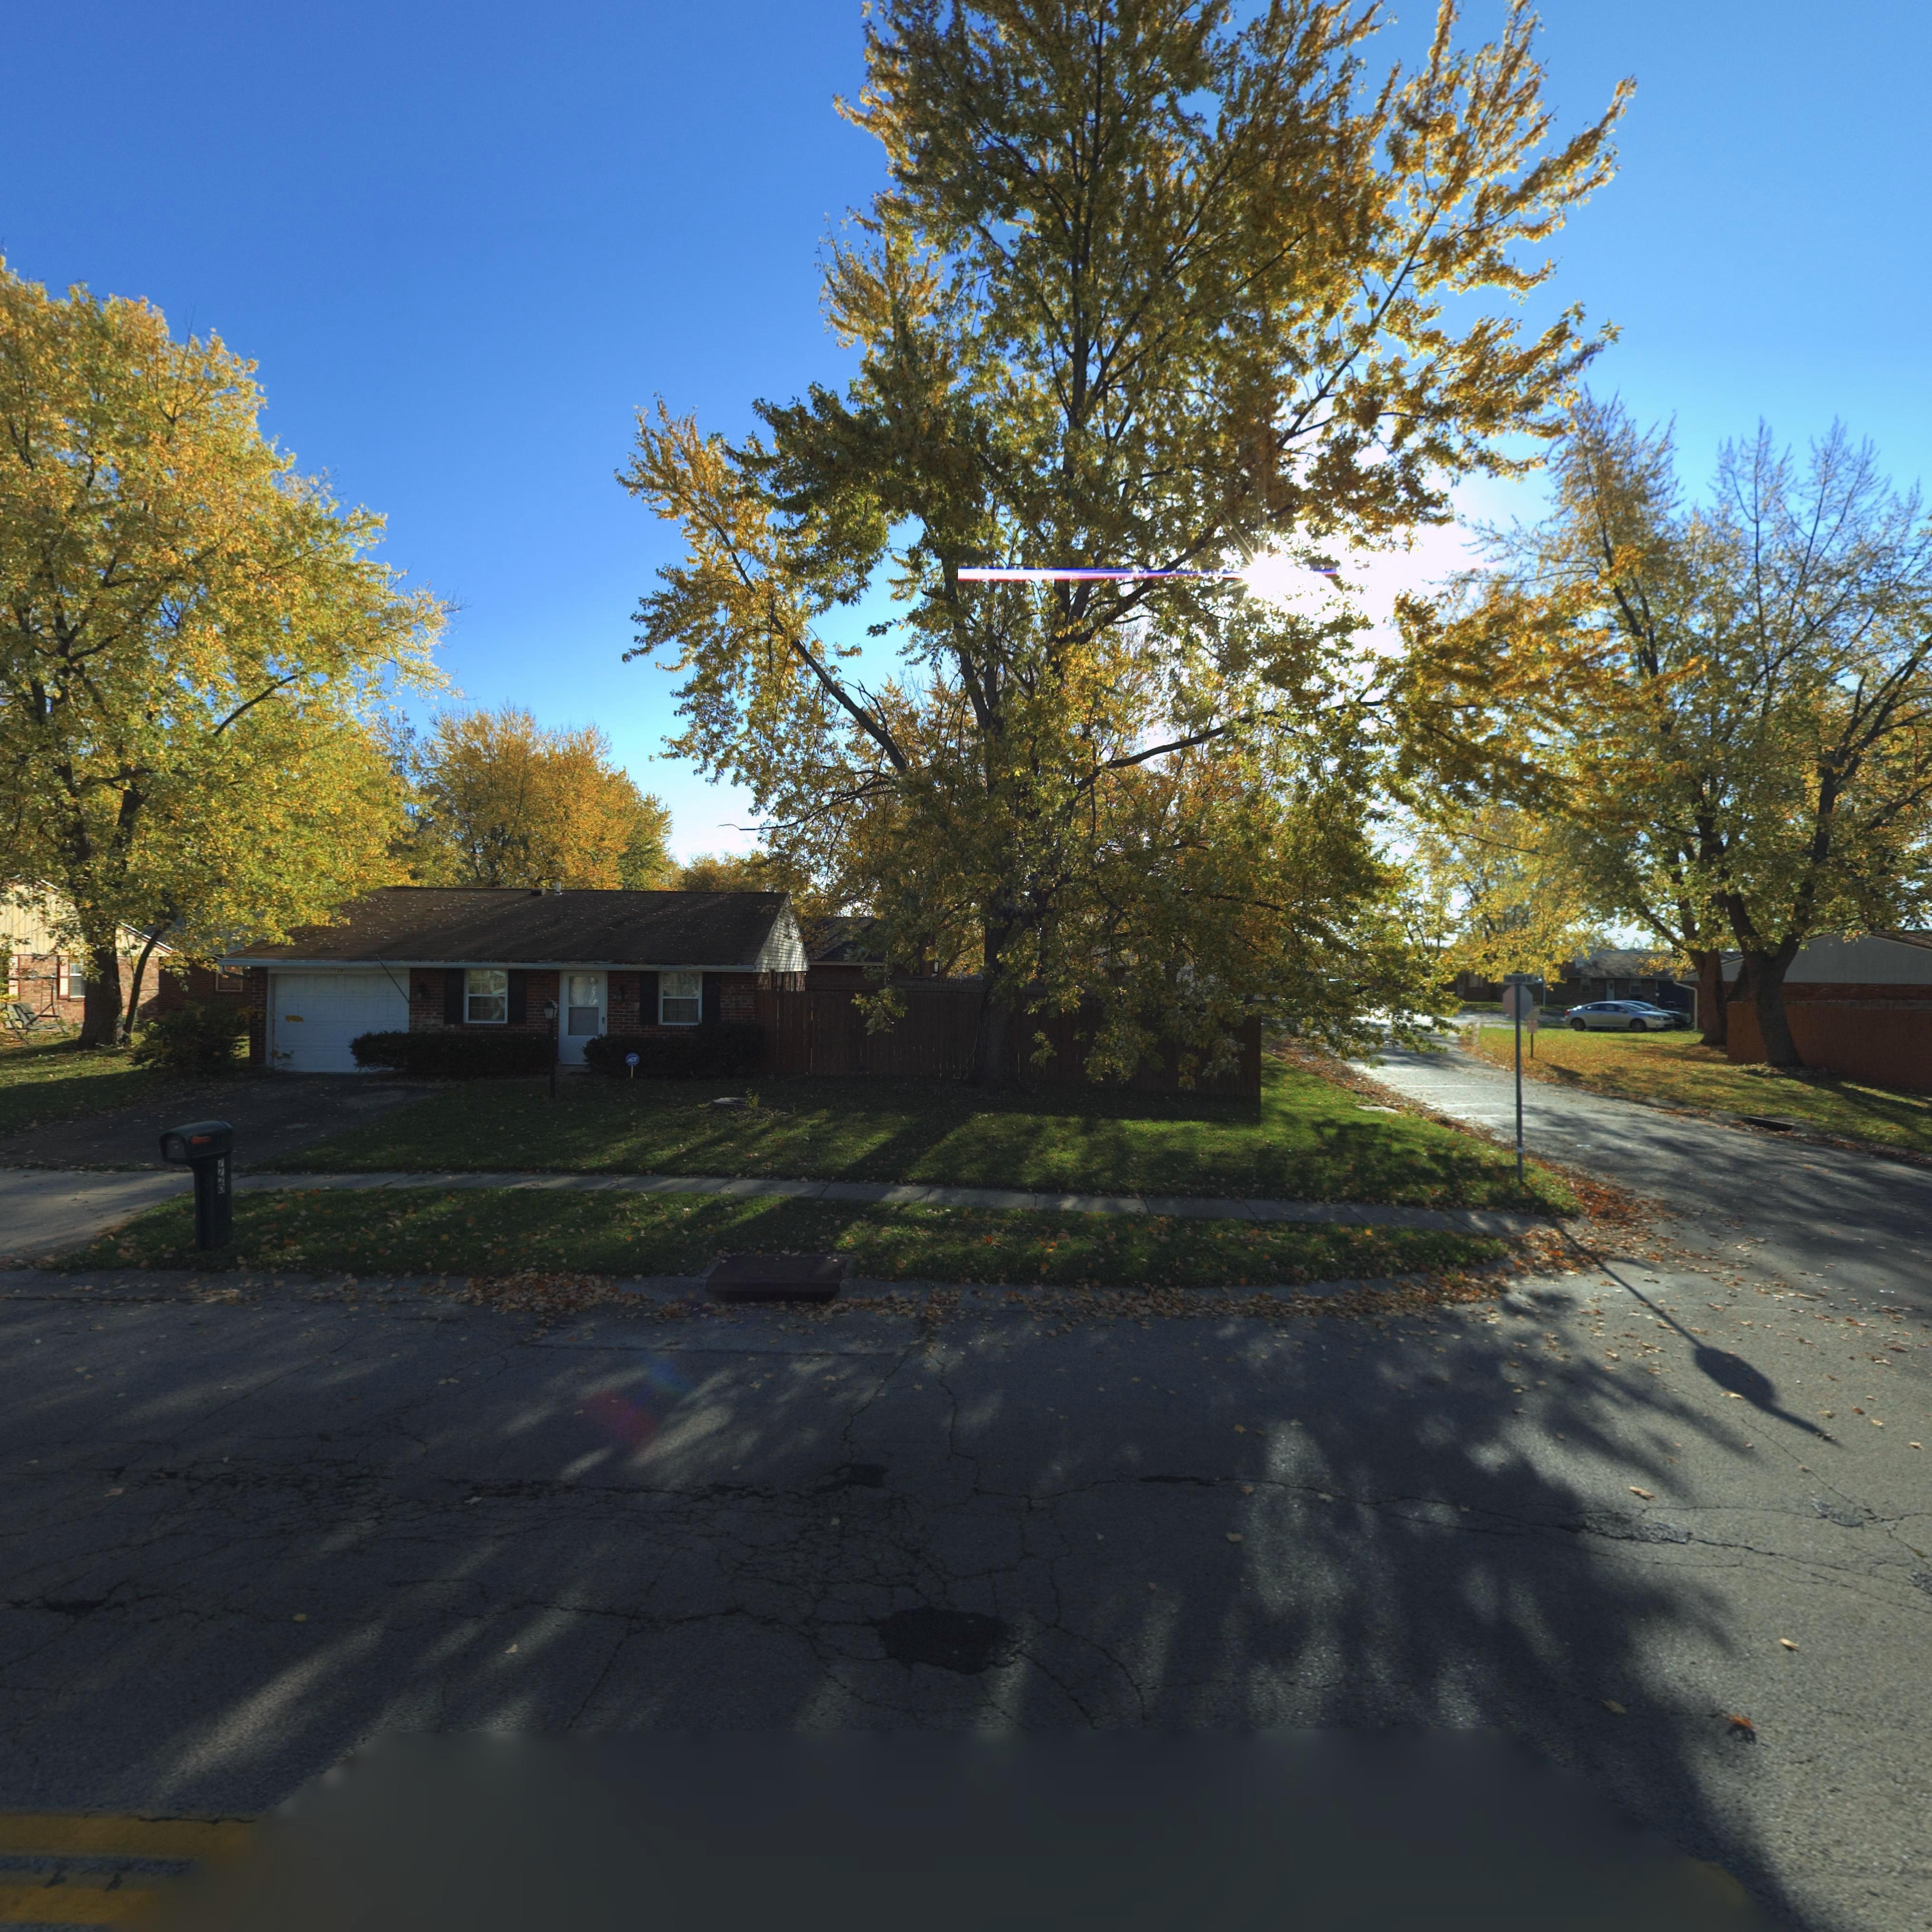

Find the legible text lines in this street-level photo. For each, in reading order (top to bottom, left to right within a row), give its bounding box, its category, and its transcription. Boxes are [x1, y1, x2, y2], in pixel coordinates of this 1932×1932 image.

[329, 967, 345, 974] StreetNumber: 7**0
[215, 1157, 227, 1195] StreetNumber: 7720